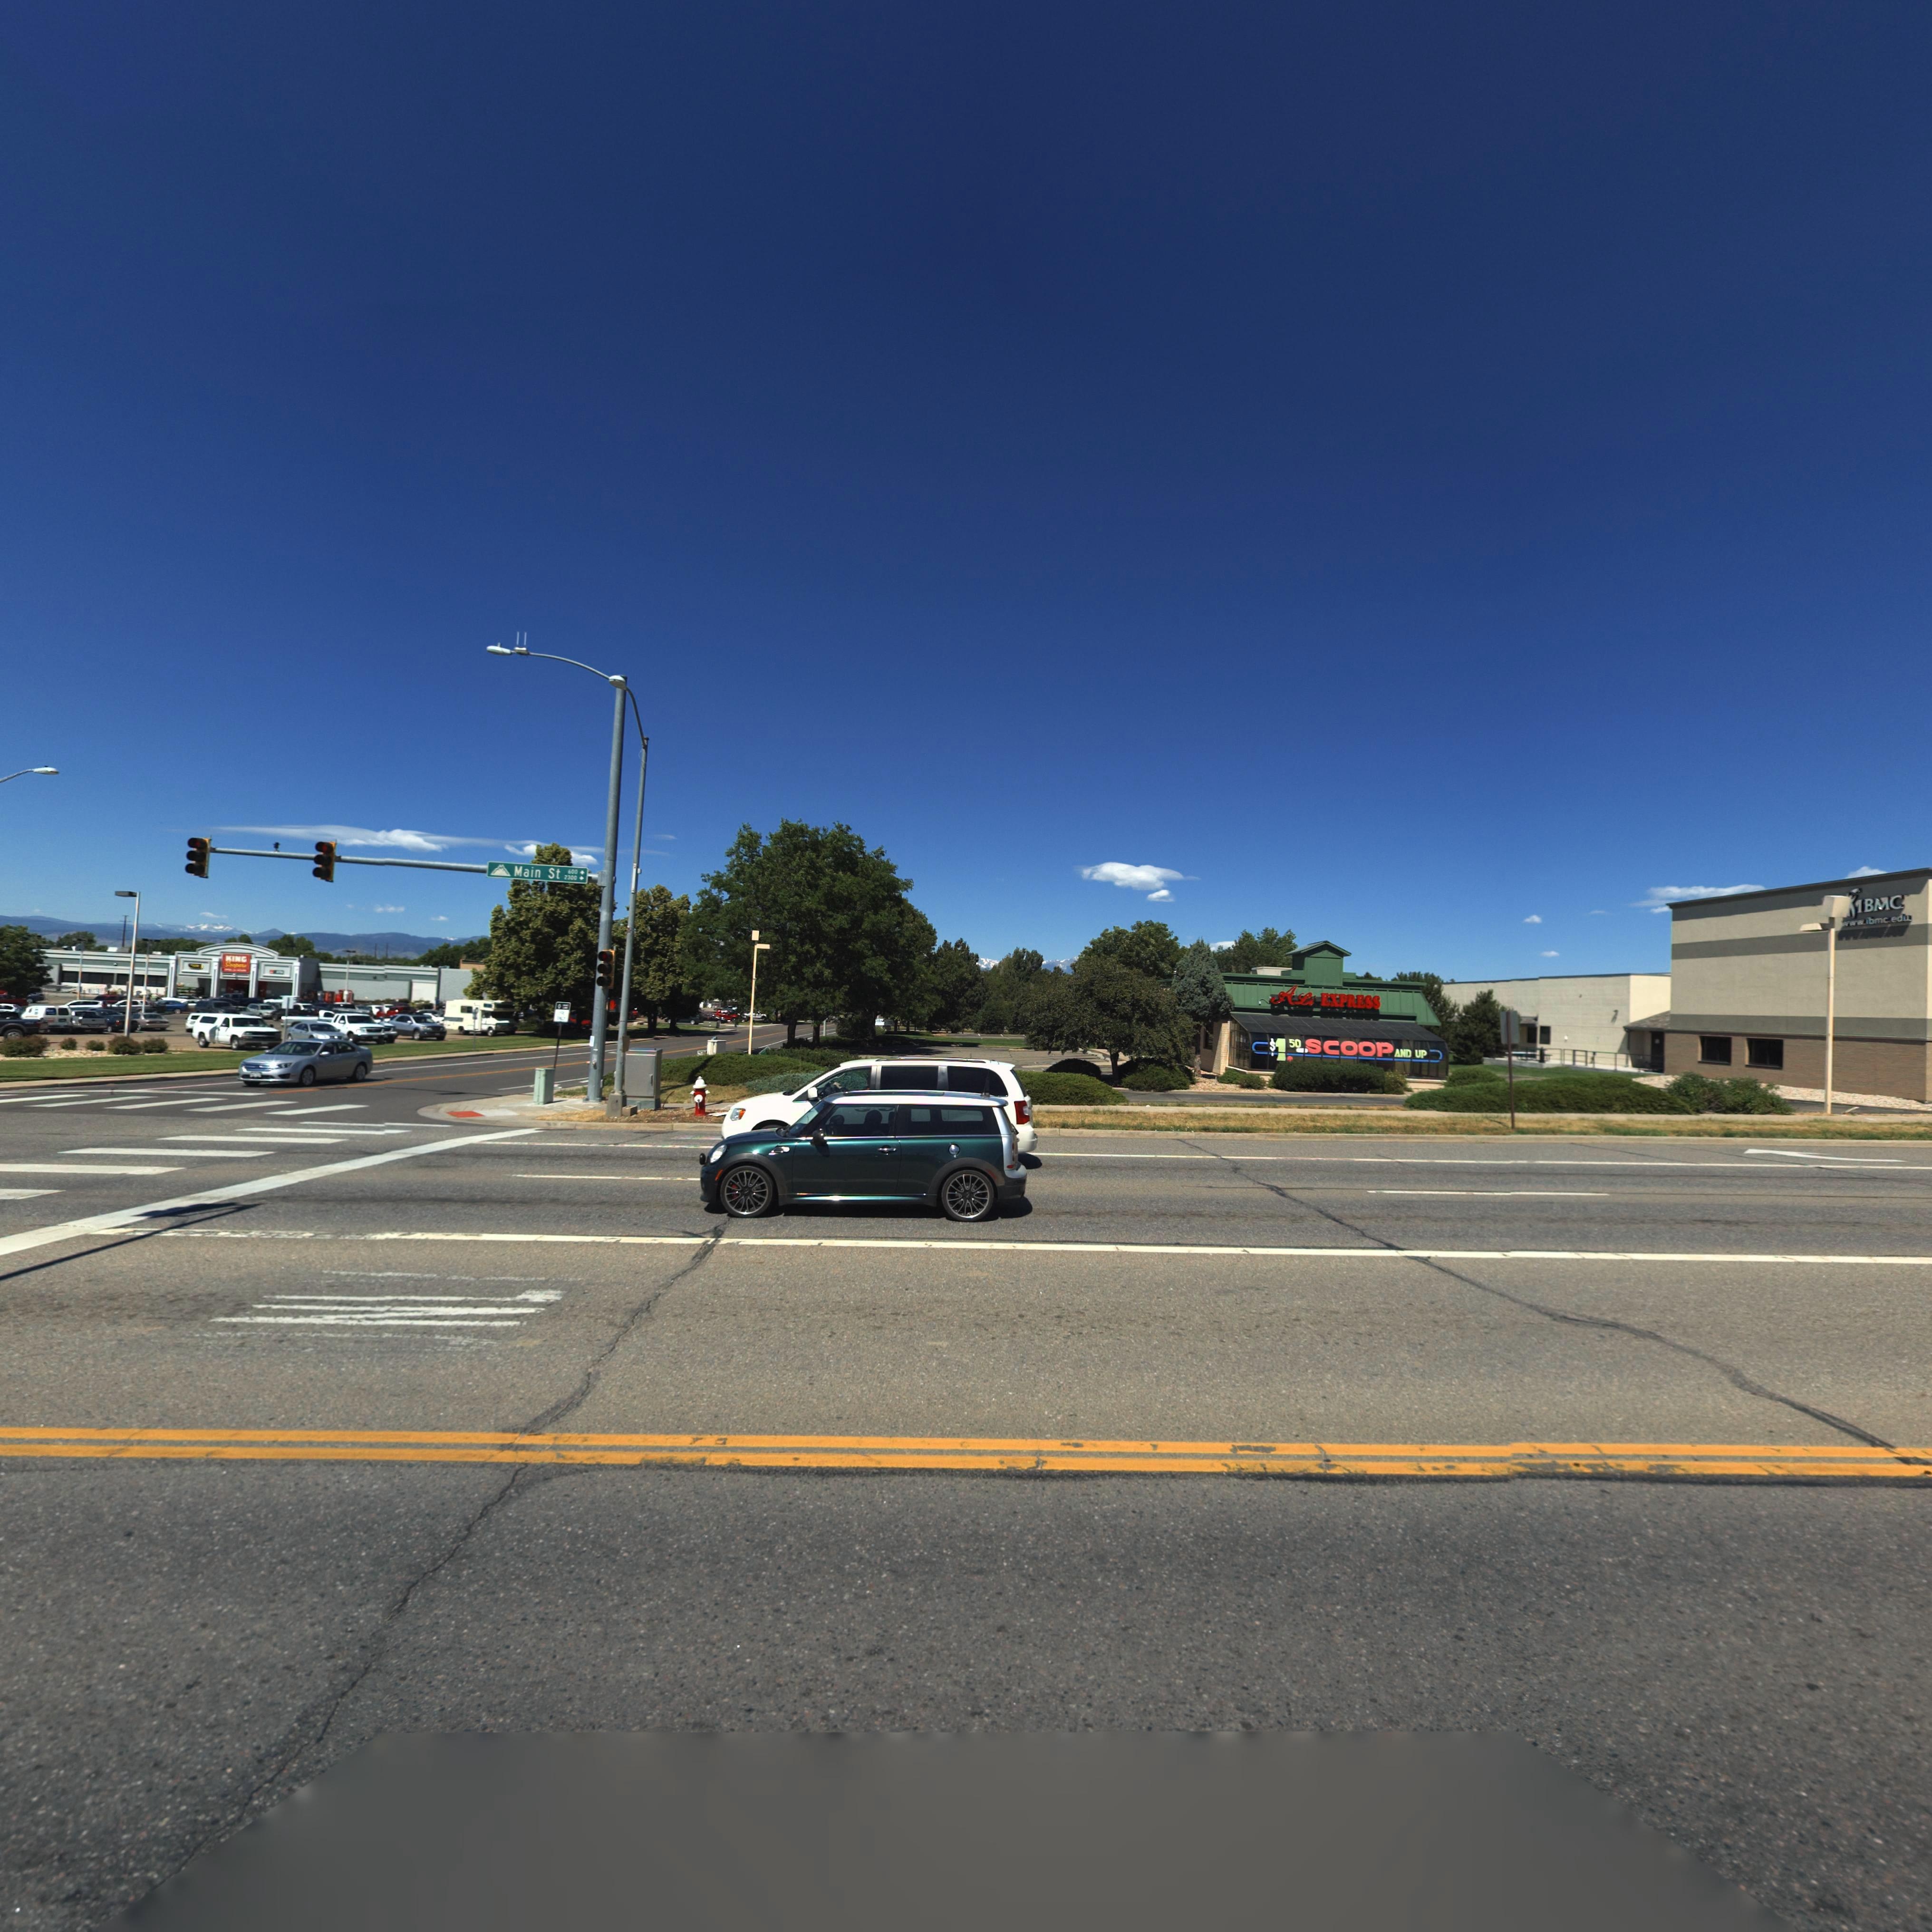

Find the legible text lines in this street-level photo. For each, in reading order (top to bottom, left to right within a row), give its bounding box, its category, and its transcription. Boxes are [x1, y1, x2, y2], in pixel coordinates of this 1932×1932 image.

[513, 865, 561, 879] StreetName: Main St
[567, 869, 578, 874] StreetNumberRange: 600
[564, 874, 585, 880] StreetNumberRange: 2300->
[1857, 894, 1903, 914] BusinessName: IBMC
[225, 955, 247, 963] BusinessName: KING
[225, 961, 247, 968] BusinessName: So*pe*s
[1270, 985, 1381, 1009] BusinessName: ALi EXPRESS